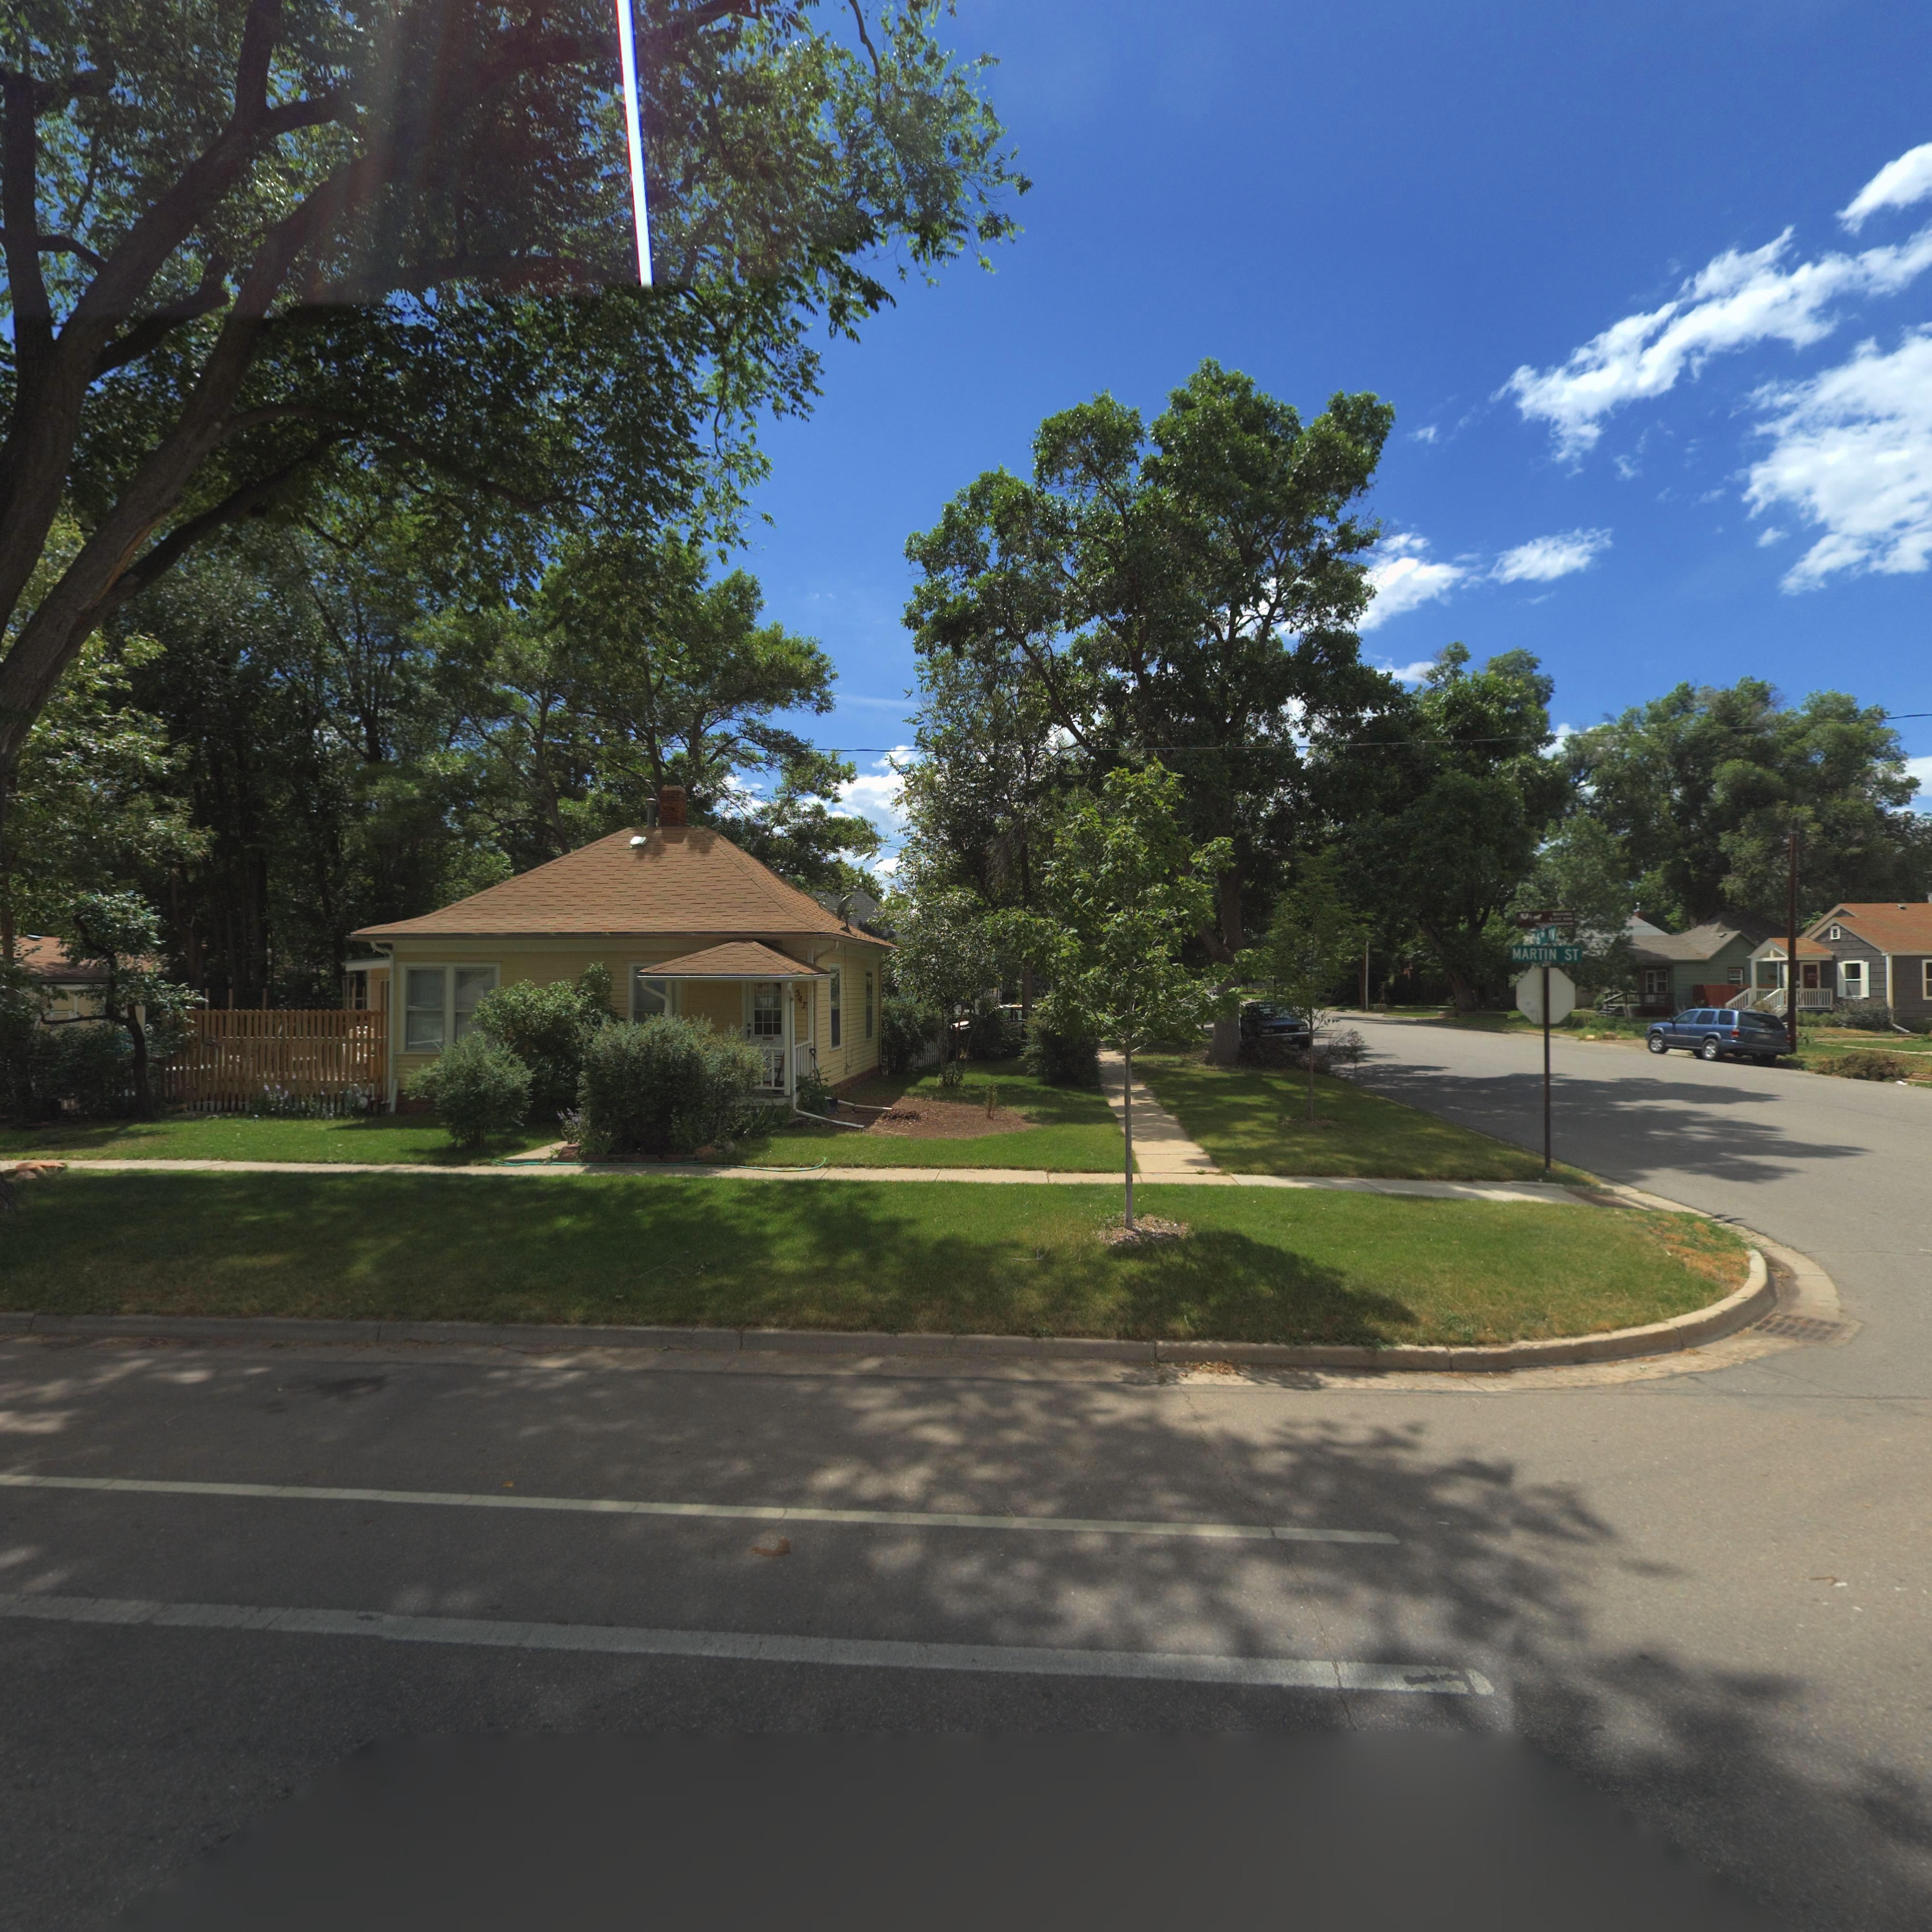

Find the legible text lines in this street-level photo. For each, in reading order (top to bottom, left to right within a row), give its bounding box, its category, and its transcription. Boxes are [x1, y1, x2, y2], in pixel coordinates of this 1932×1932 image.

[1536, 927, 1555, 945] StreetName: 6TH AV
[1512, 947, 1579, 961] StreetName: MARTIN ST
[794, 989, 808, 1009] StreetNumber: 547